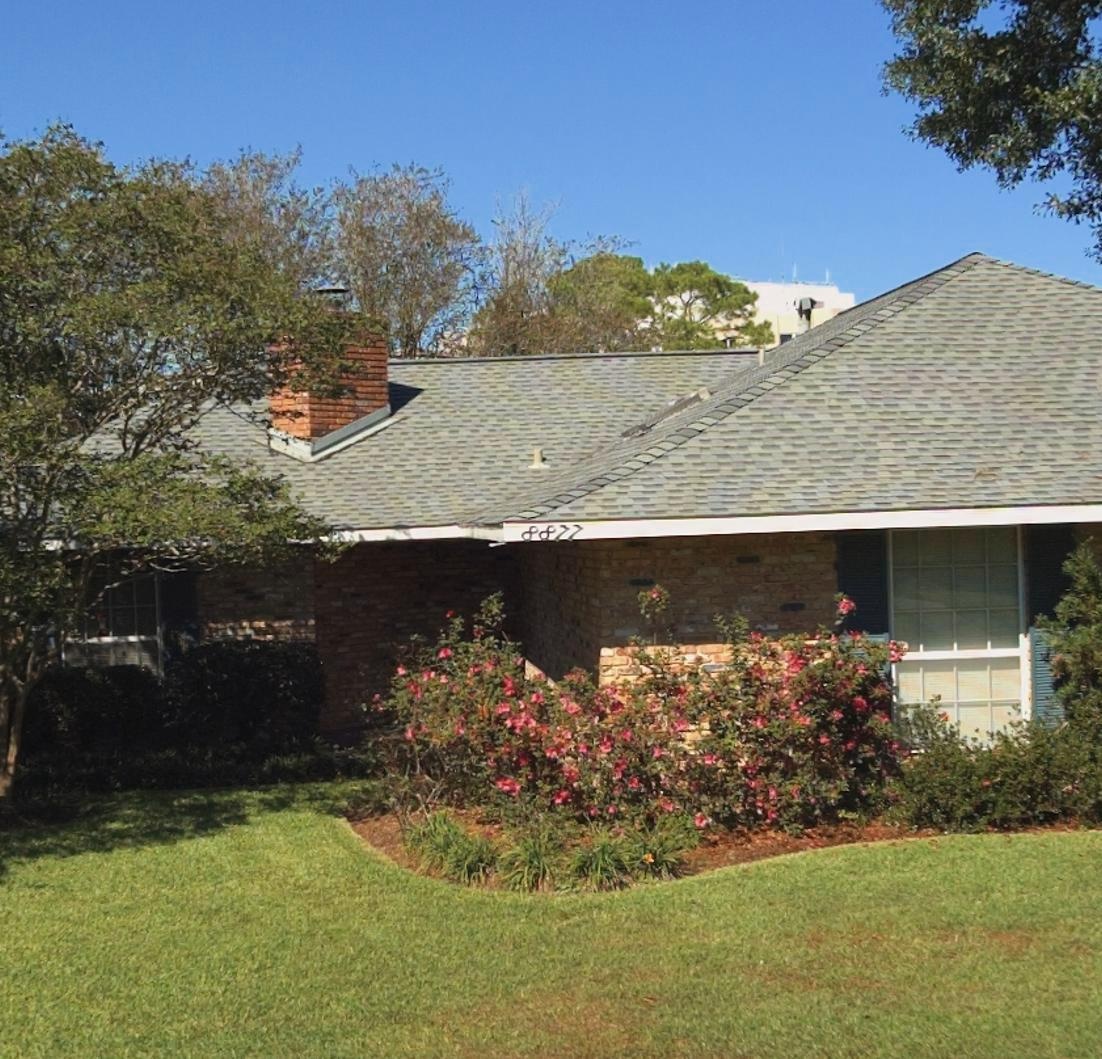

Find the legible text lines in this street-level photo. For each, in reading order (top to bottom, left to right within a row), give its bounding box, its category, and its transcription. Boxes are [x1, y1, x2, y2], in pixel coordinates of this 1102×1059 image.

[518, 524, 586, 544] StreetNumber: 8877